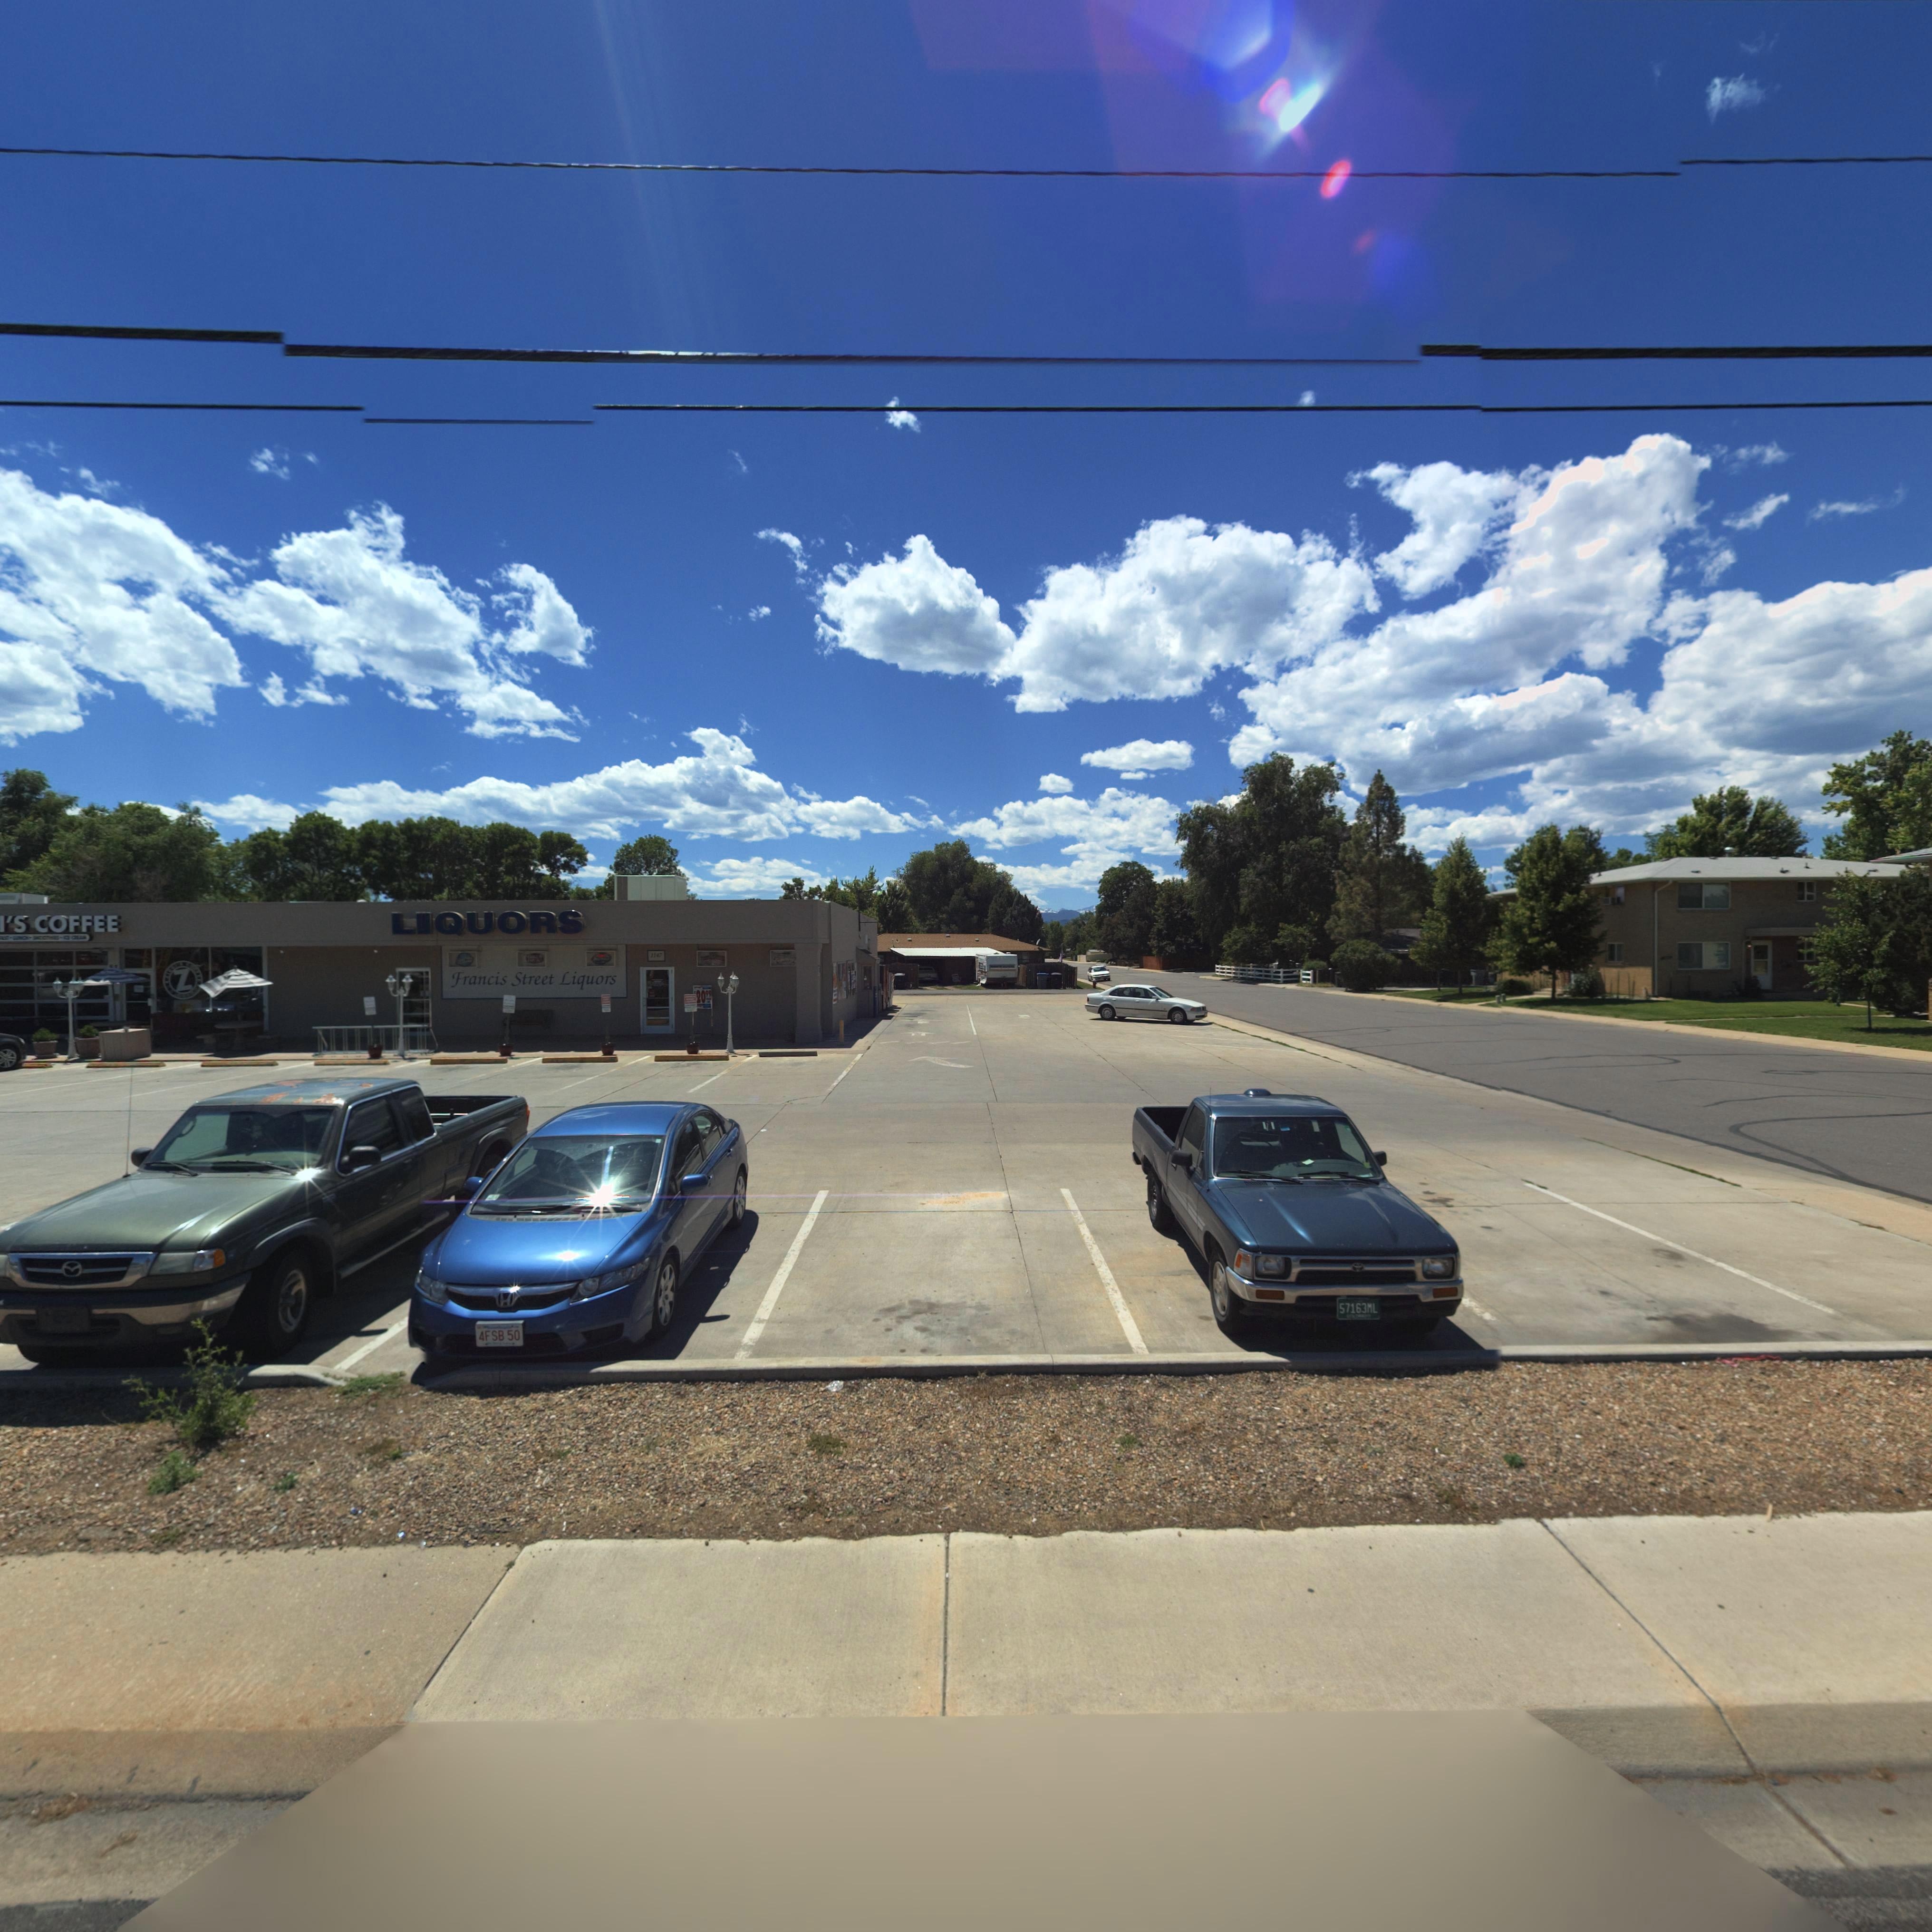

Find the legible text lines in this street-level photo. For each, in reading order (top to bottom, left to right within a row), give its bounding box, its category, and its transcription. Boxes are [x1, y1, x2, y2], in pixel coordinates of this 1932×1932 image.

[5, 915, 119, 933] BusinessName: 'S COFFEE
[650, 952, 662, 957] StreetNumber: 1147
[450, 971, 617, 990] BusinessName: Francis Street Liquors